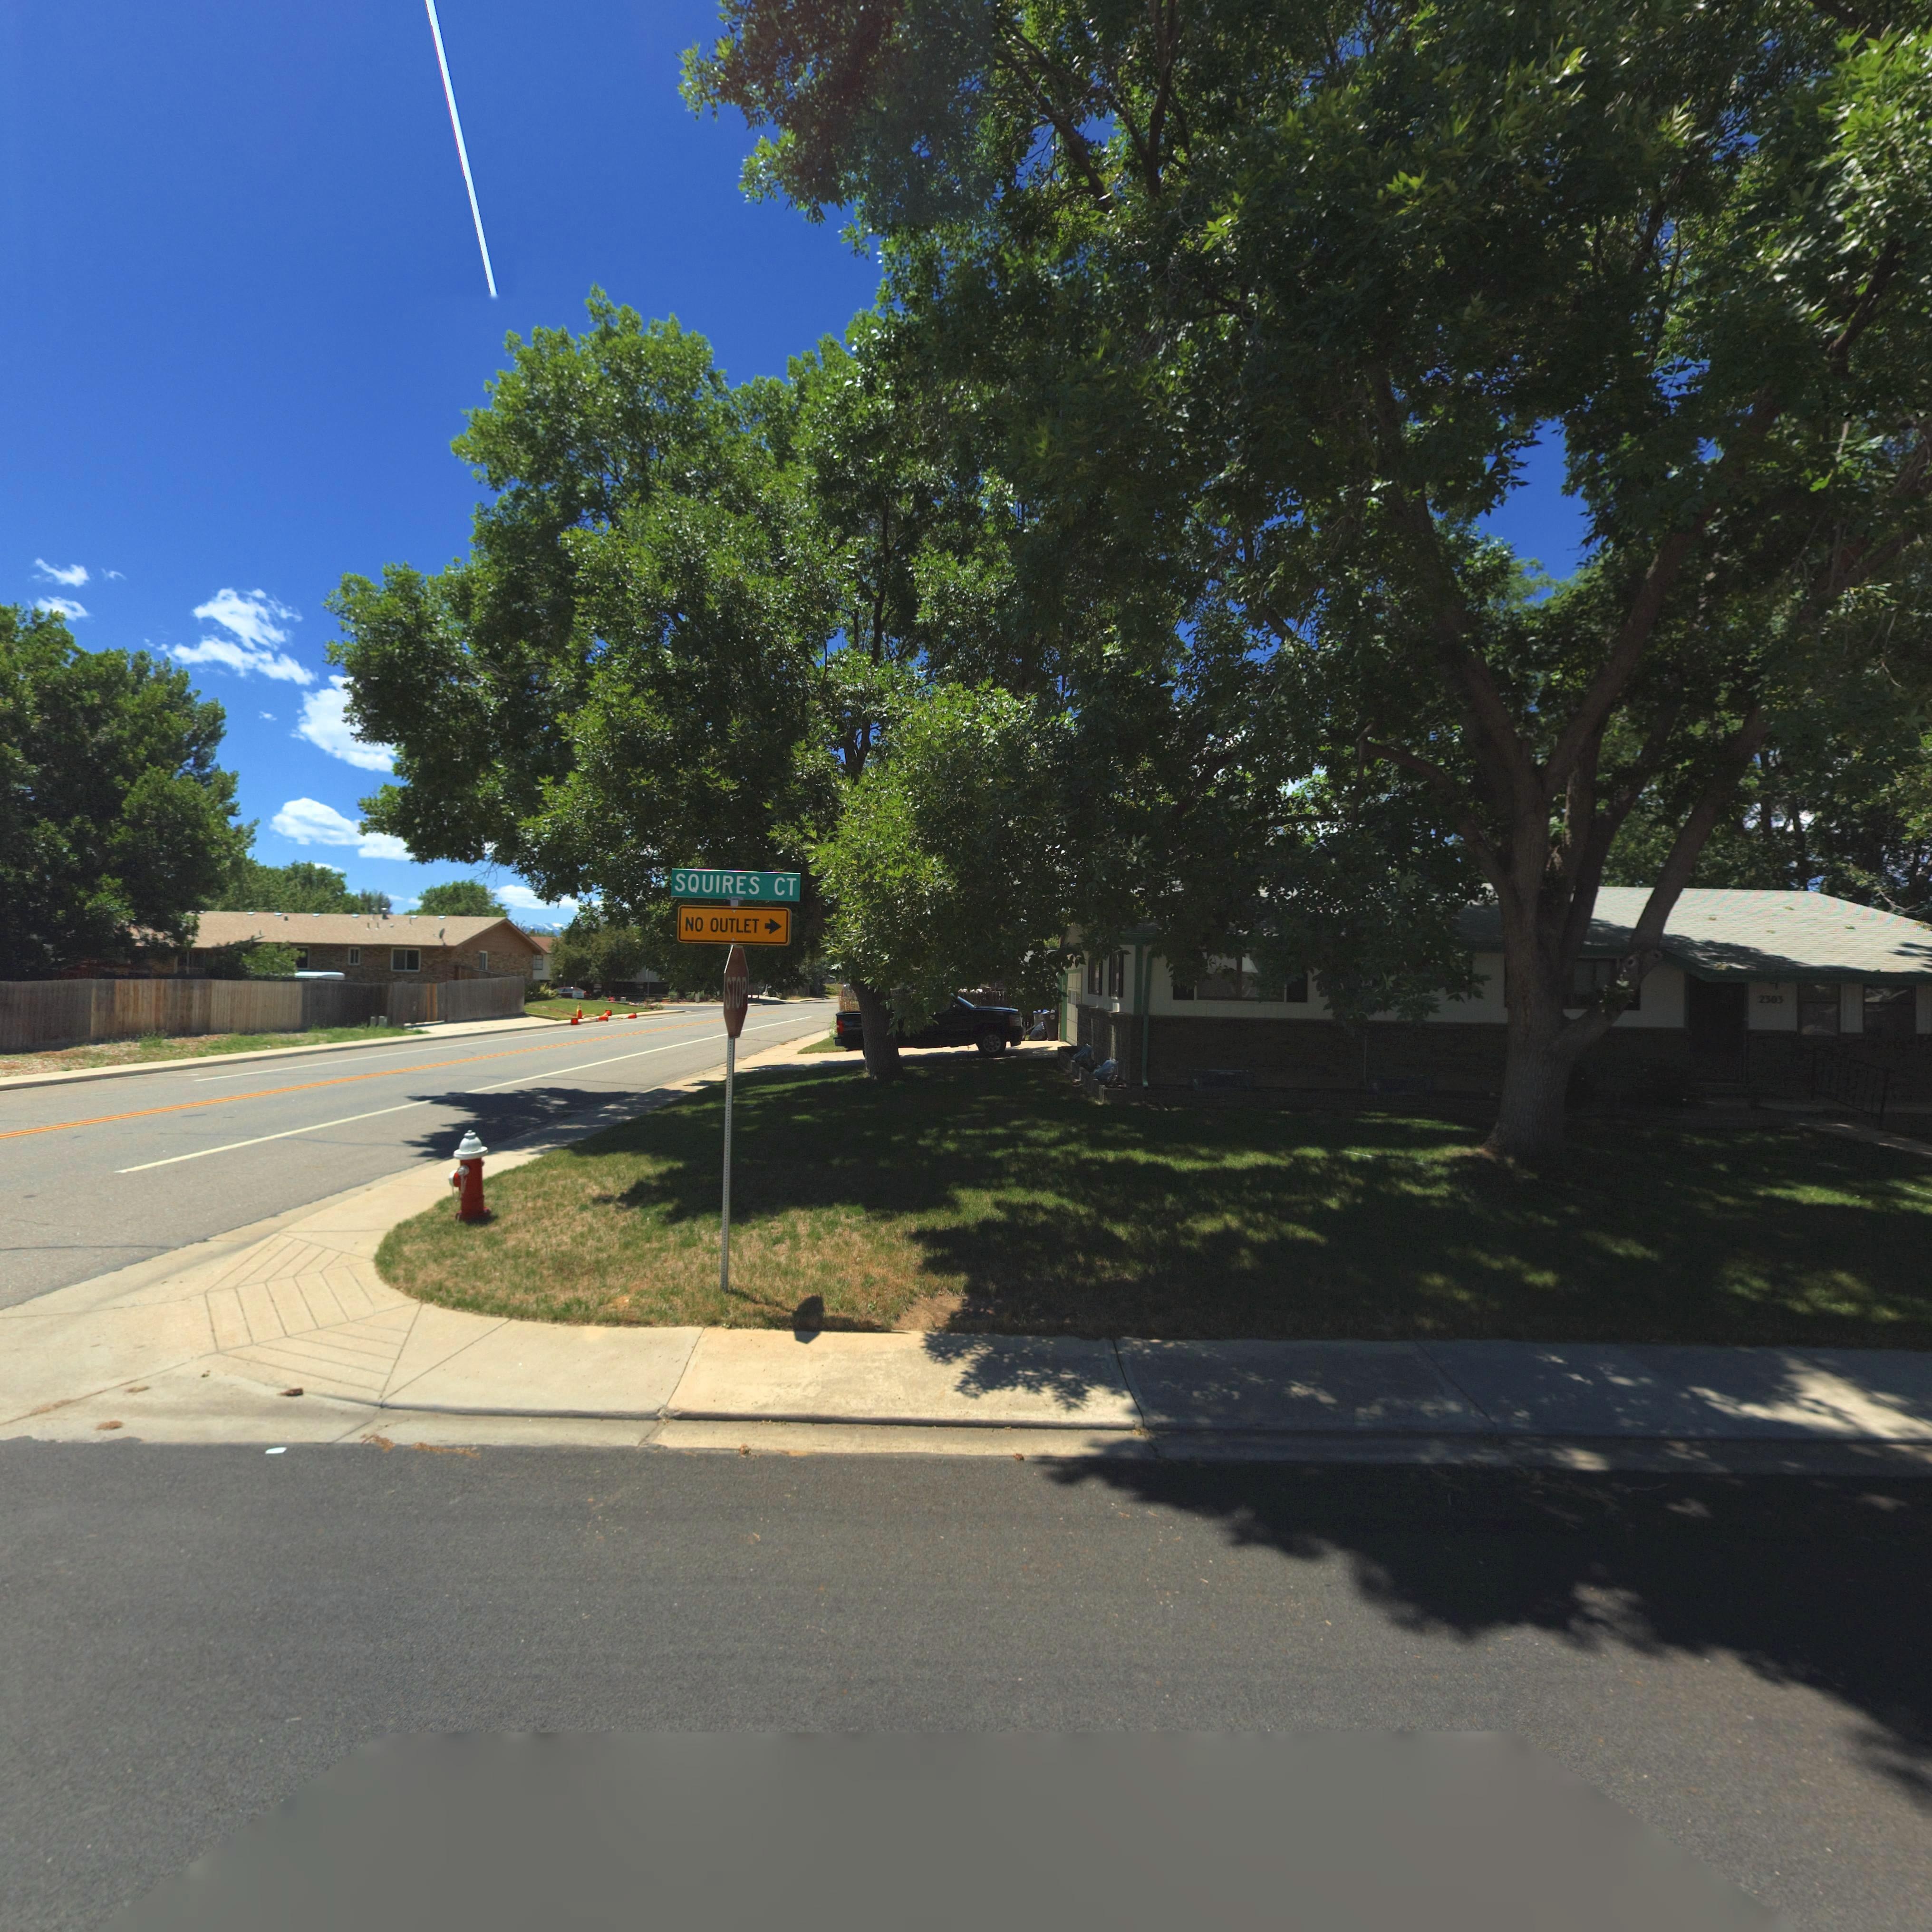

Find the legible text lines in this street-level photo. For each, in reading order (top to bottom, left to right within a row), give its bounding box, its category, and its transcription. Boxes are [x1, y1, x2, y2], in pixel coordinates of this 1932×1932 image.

[675, 872, 798, 897] StreetName: SQUIRES CT
[1758, 994, 1783, 1004] StreetNumber: 2303